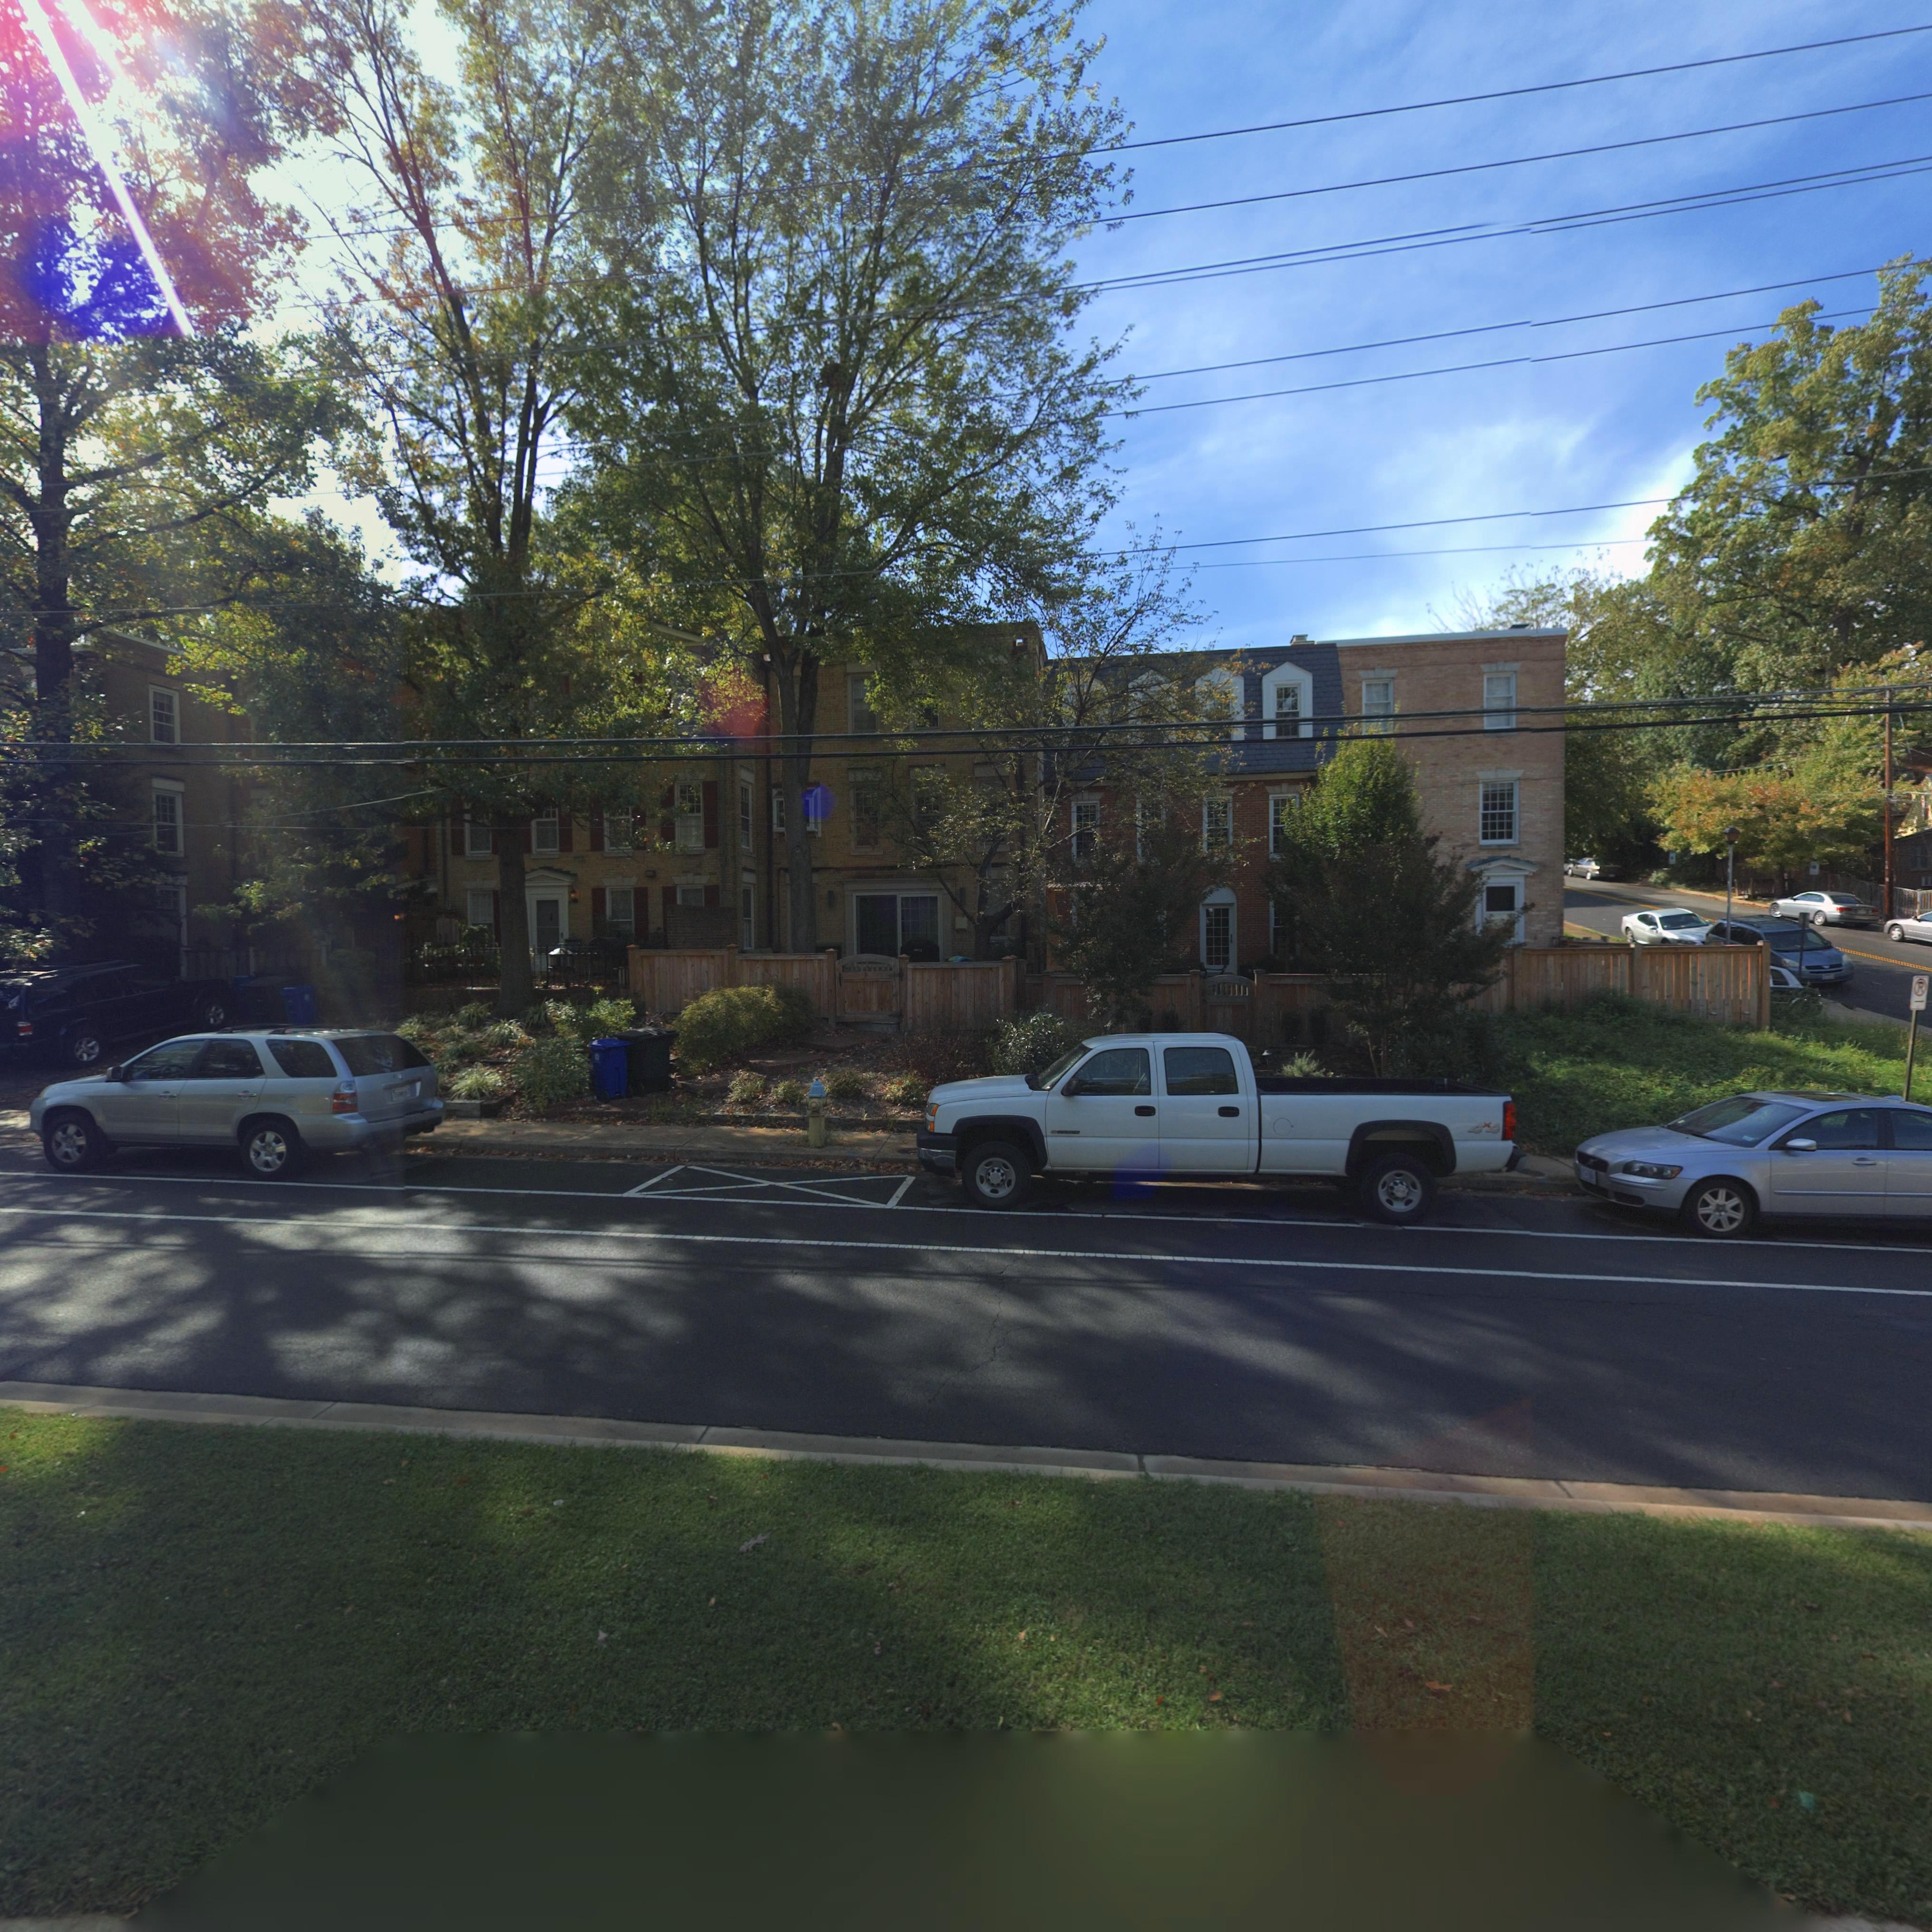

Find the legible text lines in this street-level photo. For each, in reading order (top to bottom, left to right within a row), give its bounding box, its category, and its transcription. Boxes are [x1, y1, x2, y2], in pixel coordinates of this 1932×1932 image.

[1466, 1121, 1502, 1134] None: 4x4